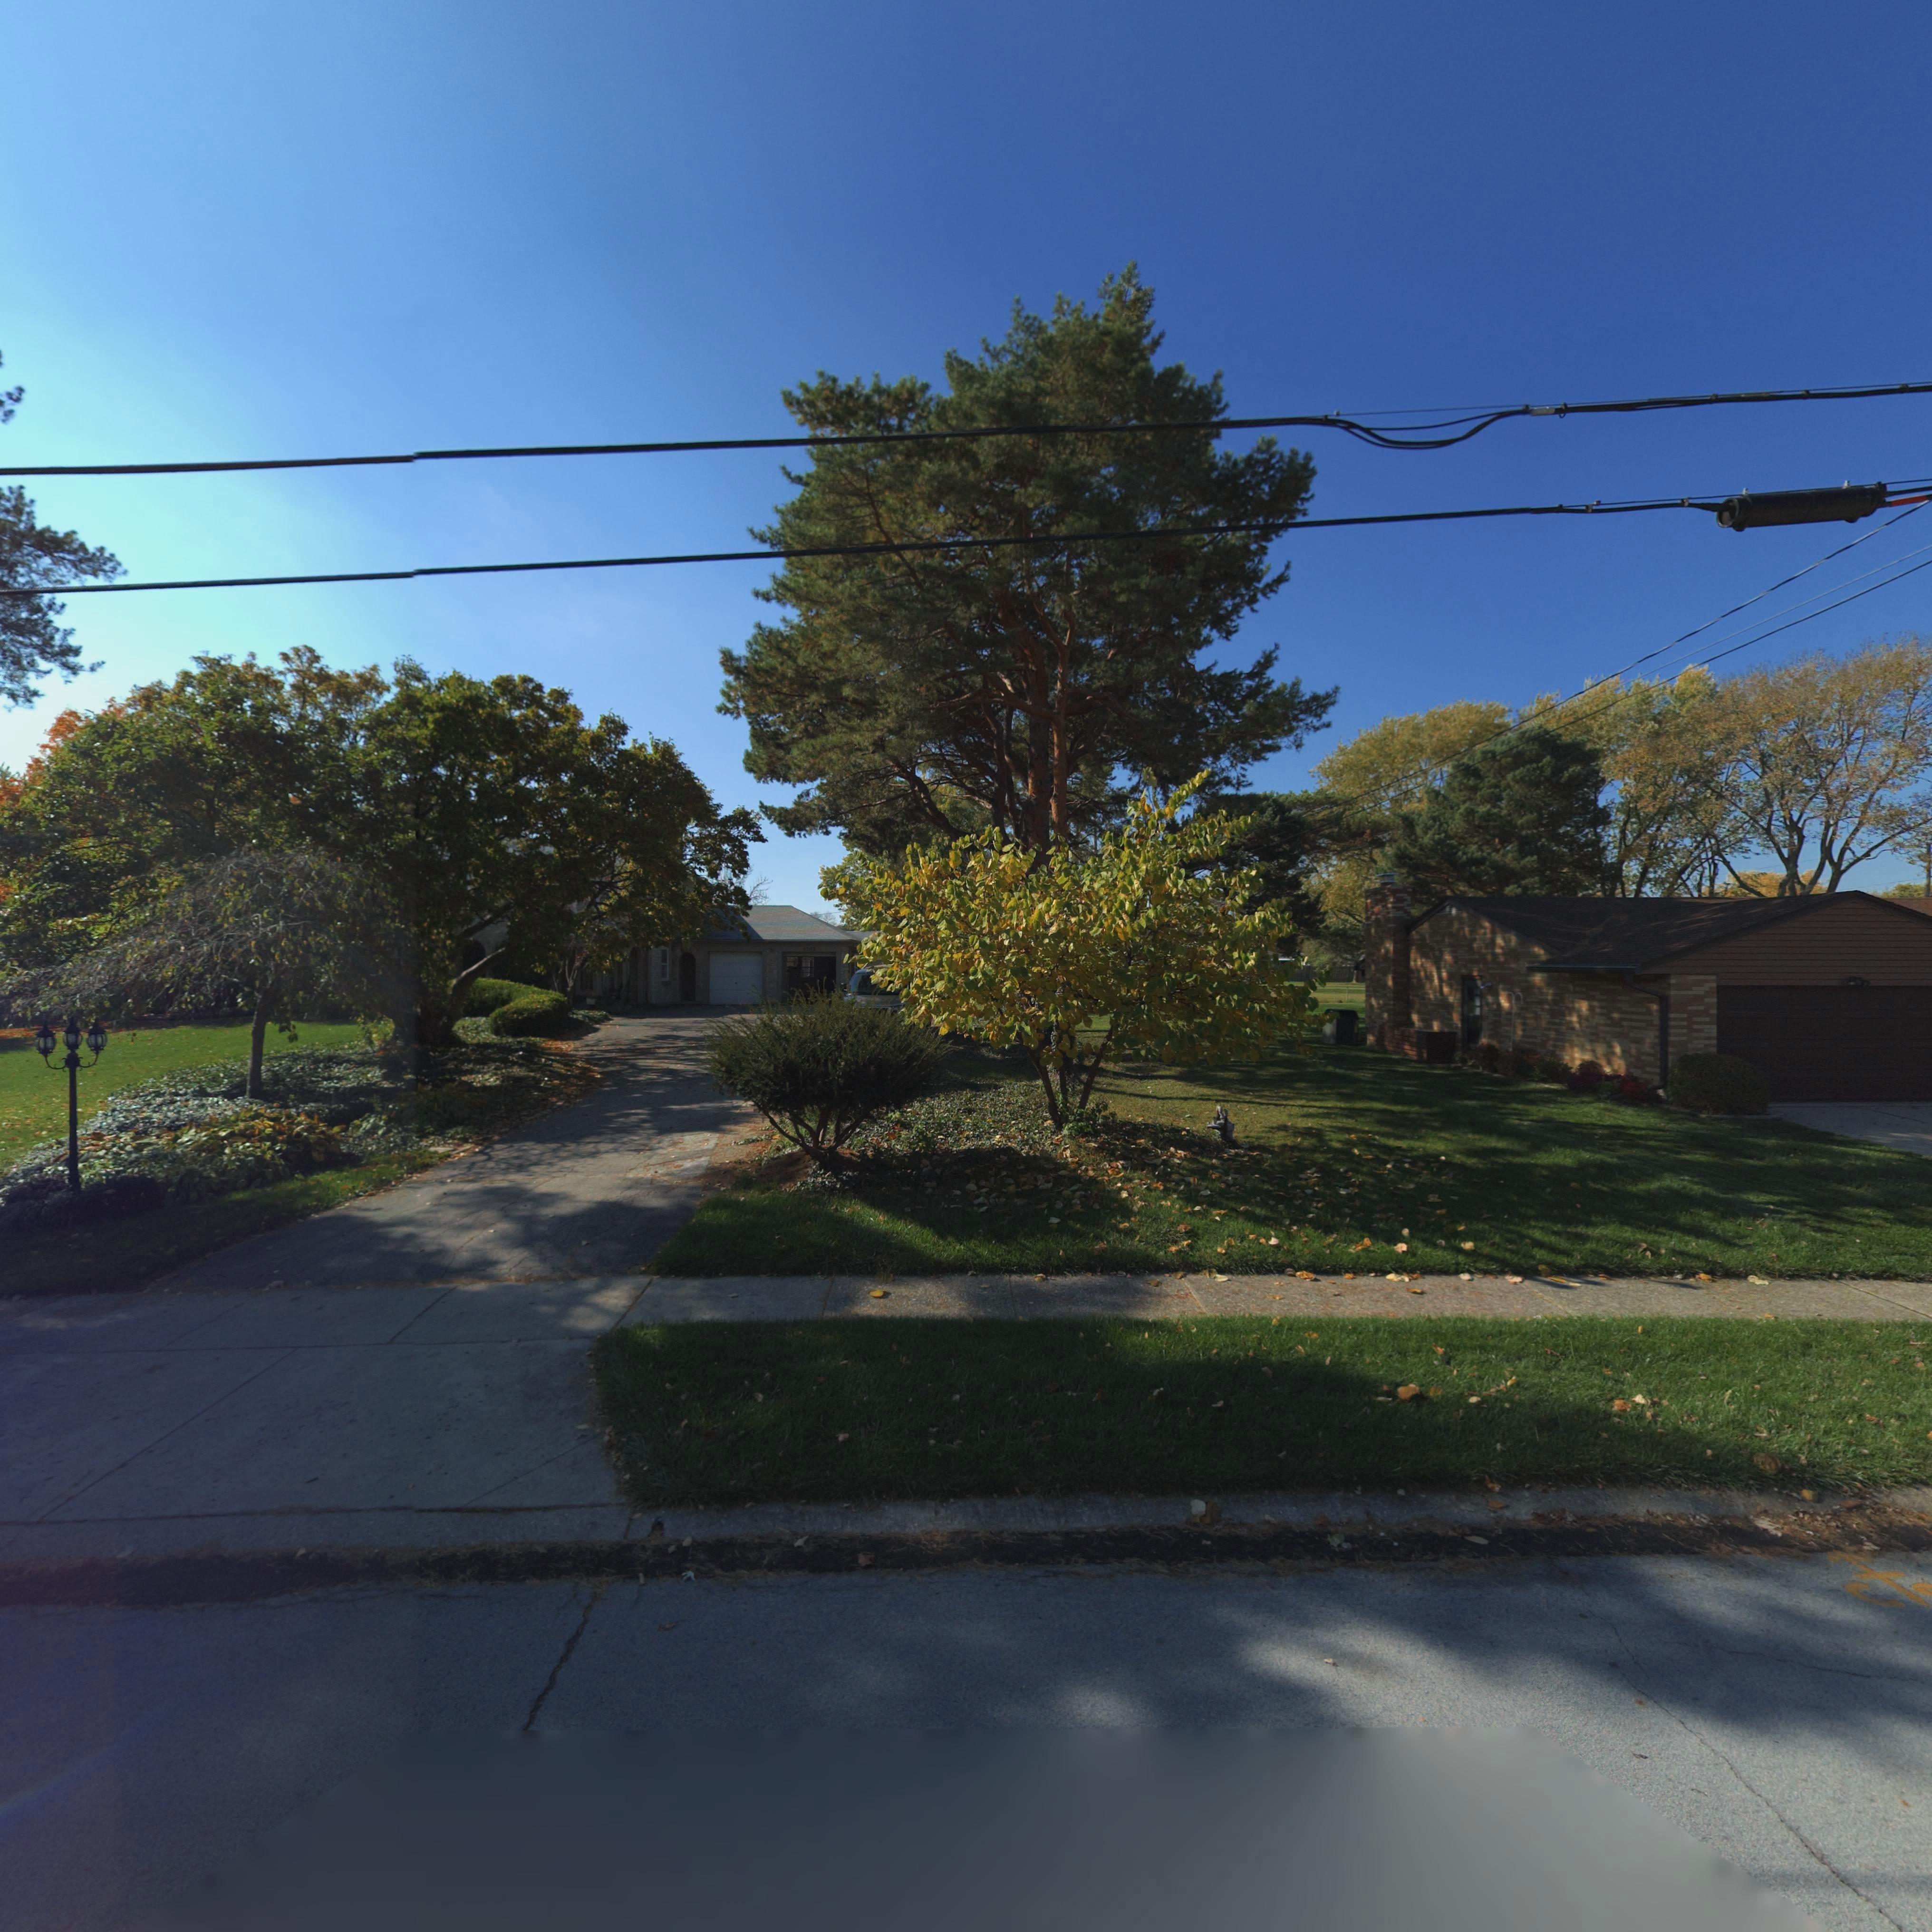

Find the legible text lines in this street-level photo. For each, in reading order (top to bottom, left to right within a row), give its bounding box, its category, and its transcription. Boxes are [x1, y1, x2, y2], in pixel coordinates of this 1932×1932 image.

[805, 946, 817, 953] StreetNumber: 7*9